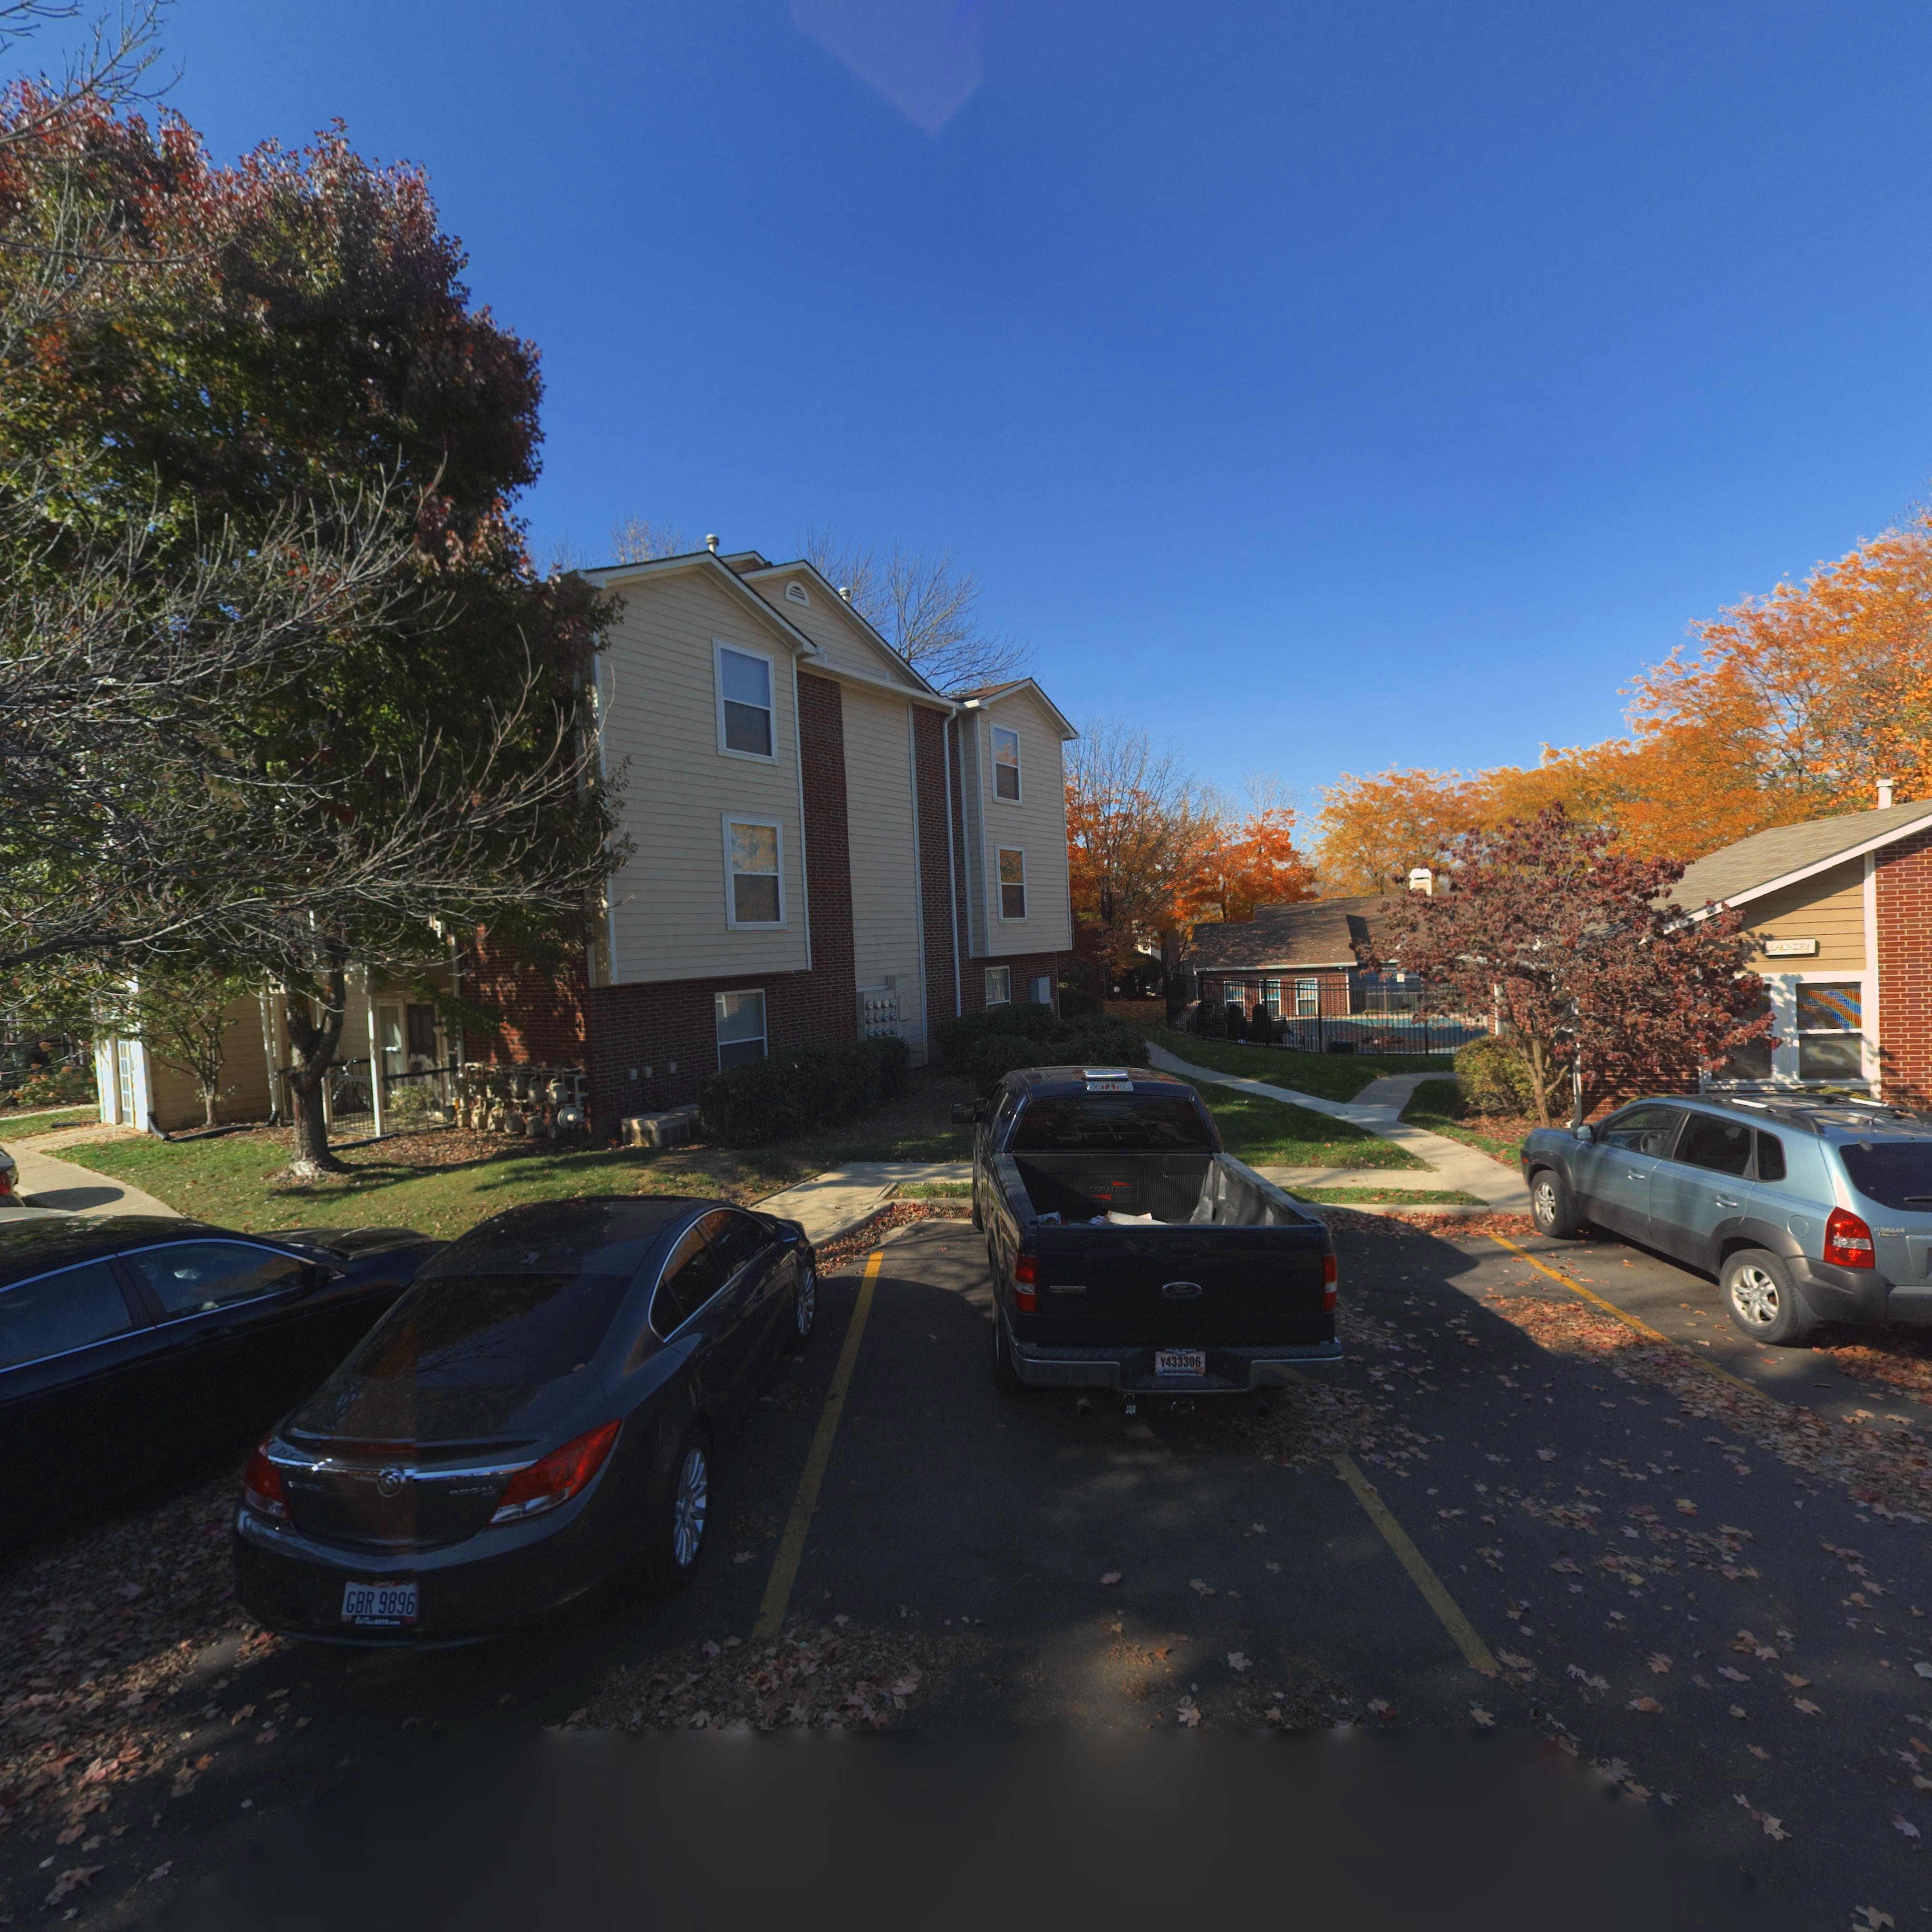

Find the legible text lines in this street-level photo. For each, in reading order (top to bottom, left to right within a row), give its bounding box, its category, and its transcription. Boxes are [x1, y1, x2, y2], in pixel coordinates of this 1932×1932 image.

[1769, 942, 1812, 953] None: LA*ND**
[1050, 1286, 1085, 1294] None: F-150
[1170, 1284, 1194, 1295] None: F**d
[1159, 1355, 1202, 1369] None: Y433306
[344, 1590, 416, 1616] None: GBR 9896
[341, 1614, 352, 1623] None: *7